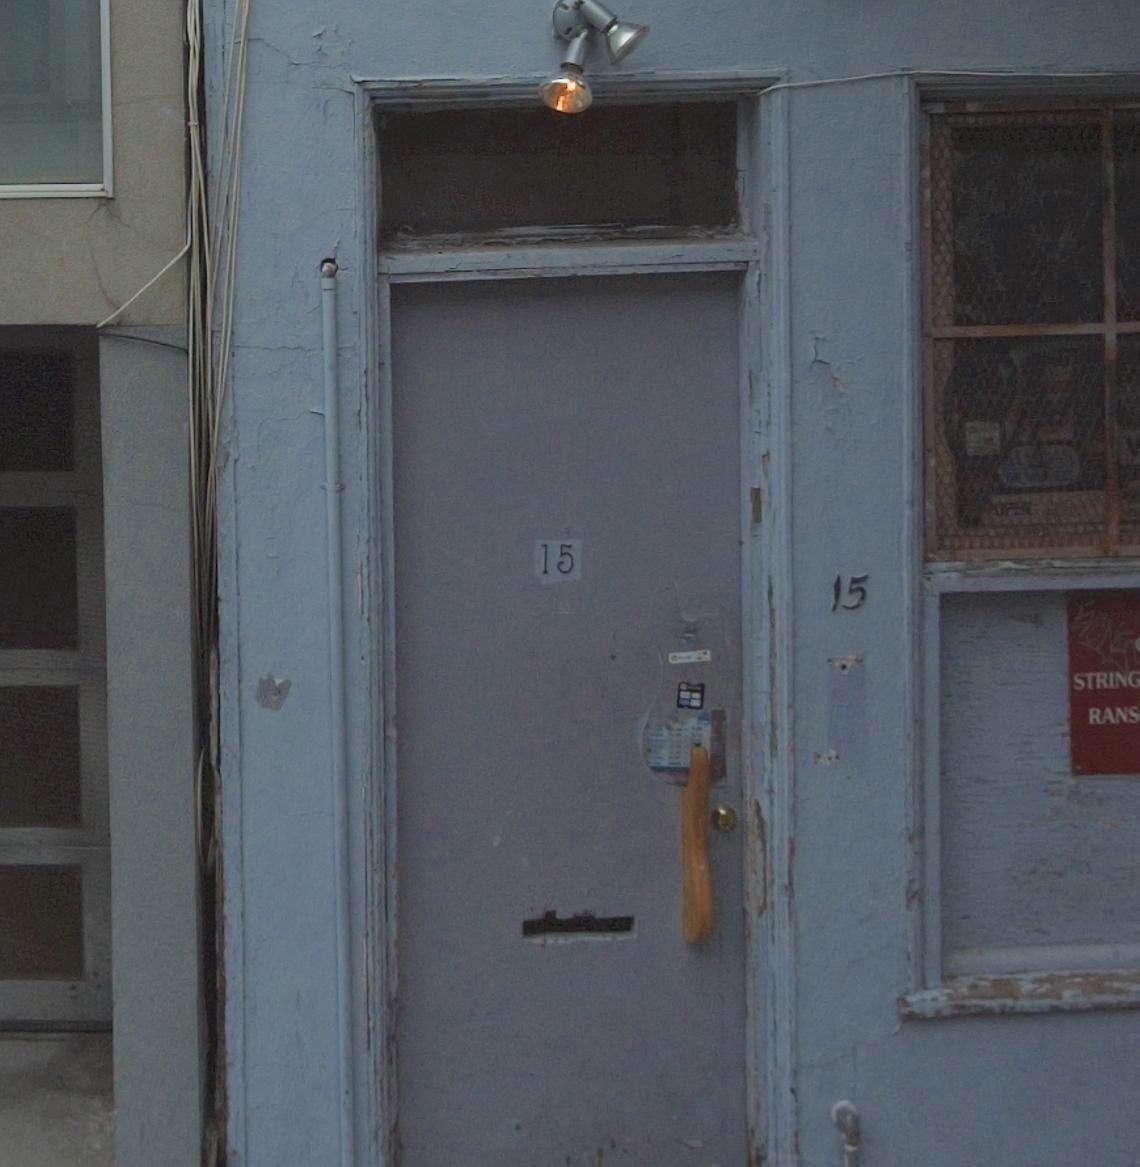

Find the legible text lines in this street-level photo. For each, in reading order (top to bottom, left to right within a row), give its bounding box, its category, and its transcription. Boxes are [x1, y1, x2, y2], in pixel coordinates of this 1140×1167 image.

[539, 542, 576, 576] StreetNumber: 15
[829, 572, 872, 615] StreetNumber: 15
[1070, 669, 1131, 694] None: STRIN
[1086, 702, 1140, 728] None: RANS